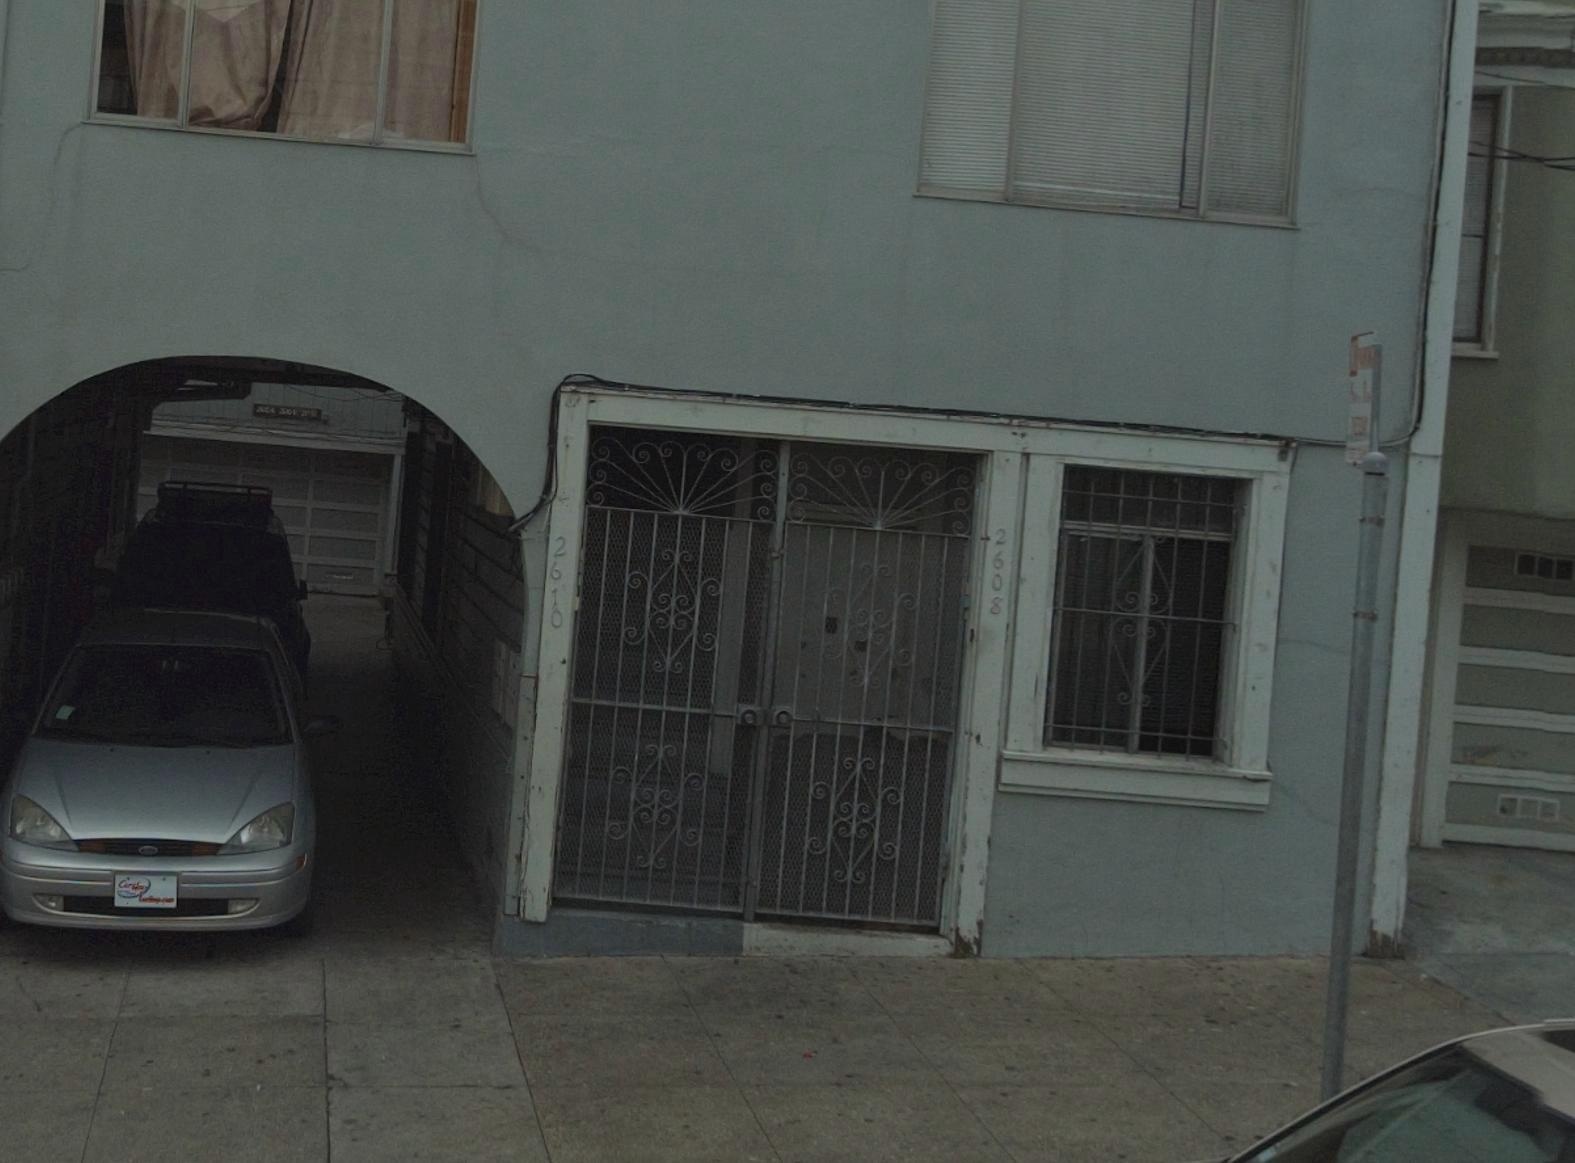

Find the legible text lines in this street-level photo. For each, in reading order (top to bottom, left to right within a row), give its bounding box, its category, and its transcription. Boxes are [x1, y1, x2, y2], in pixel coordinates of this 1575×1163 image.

[543, 533, 567, 629] StreetNumber: 2610
[987, 527, 1008, 617] StreetNumber: 2608